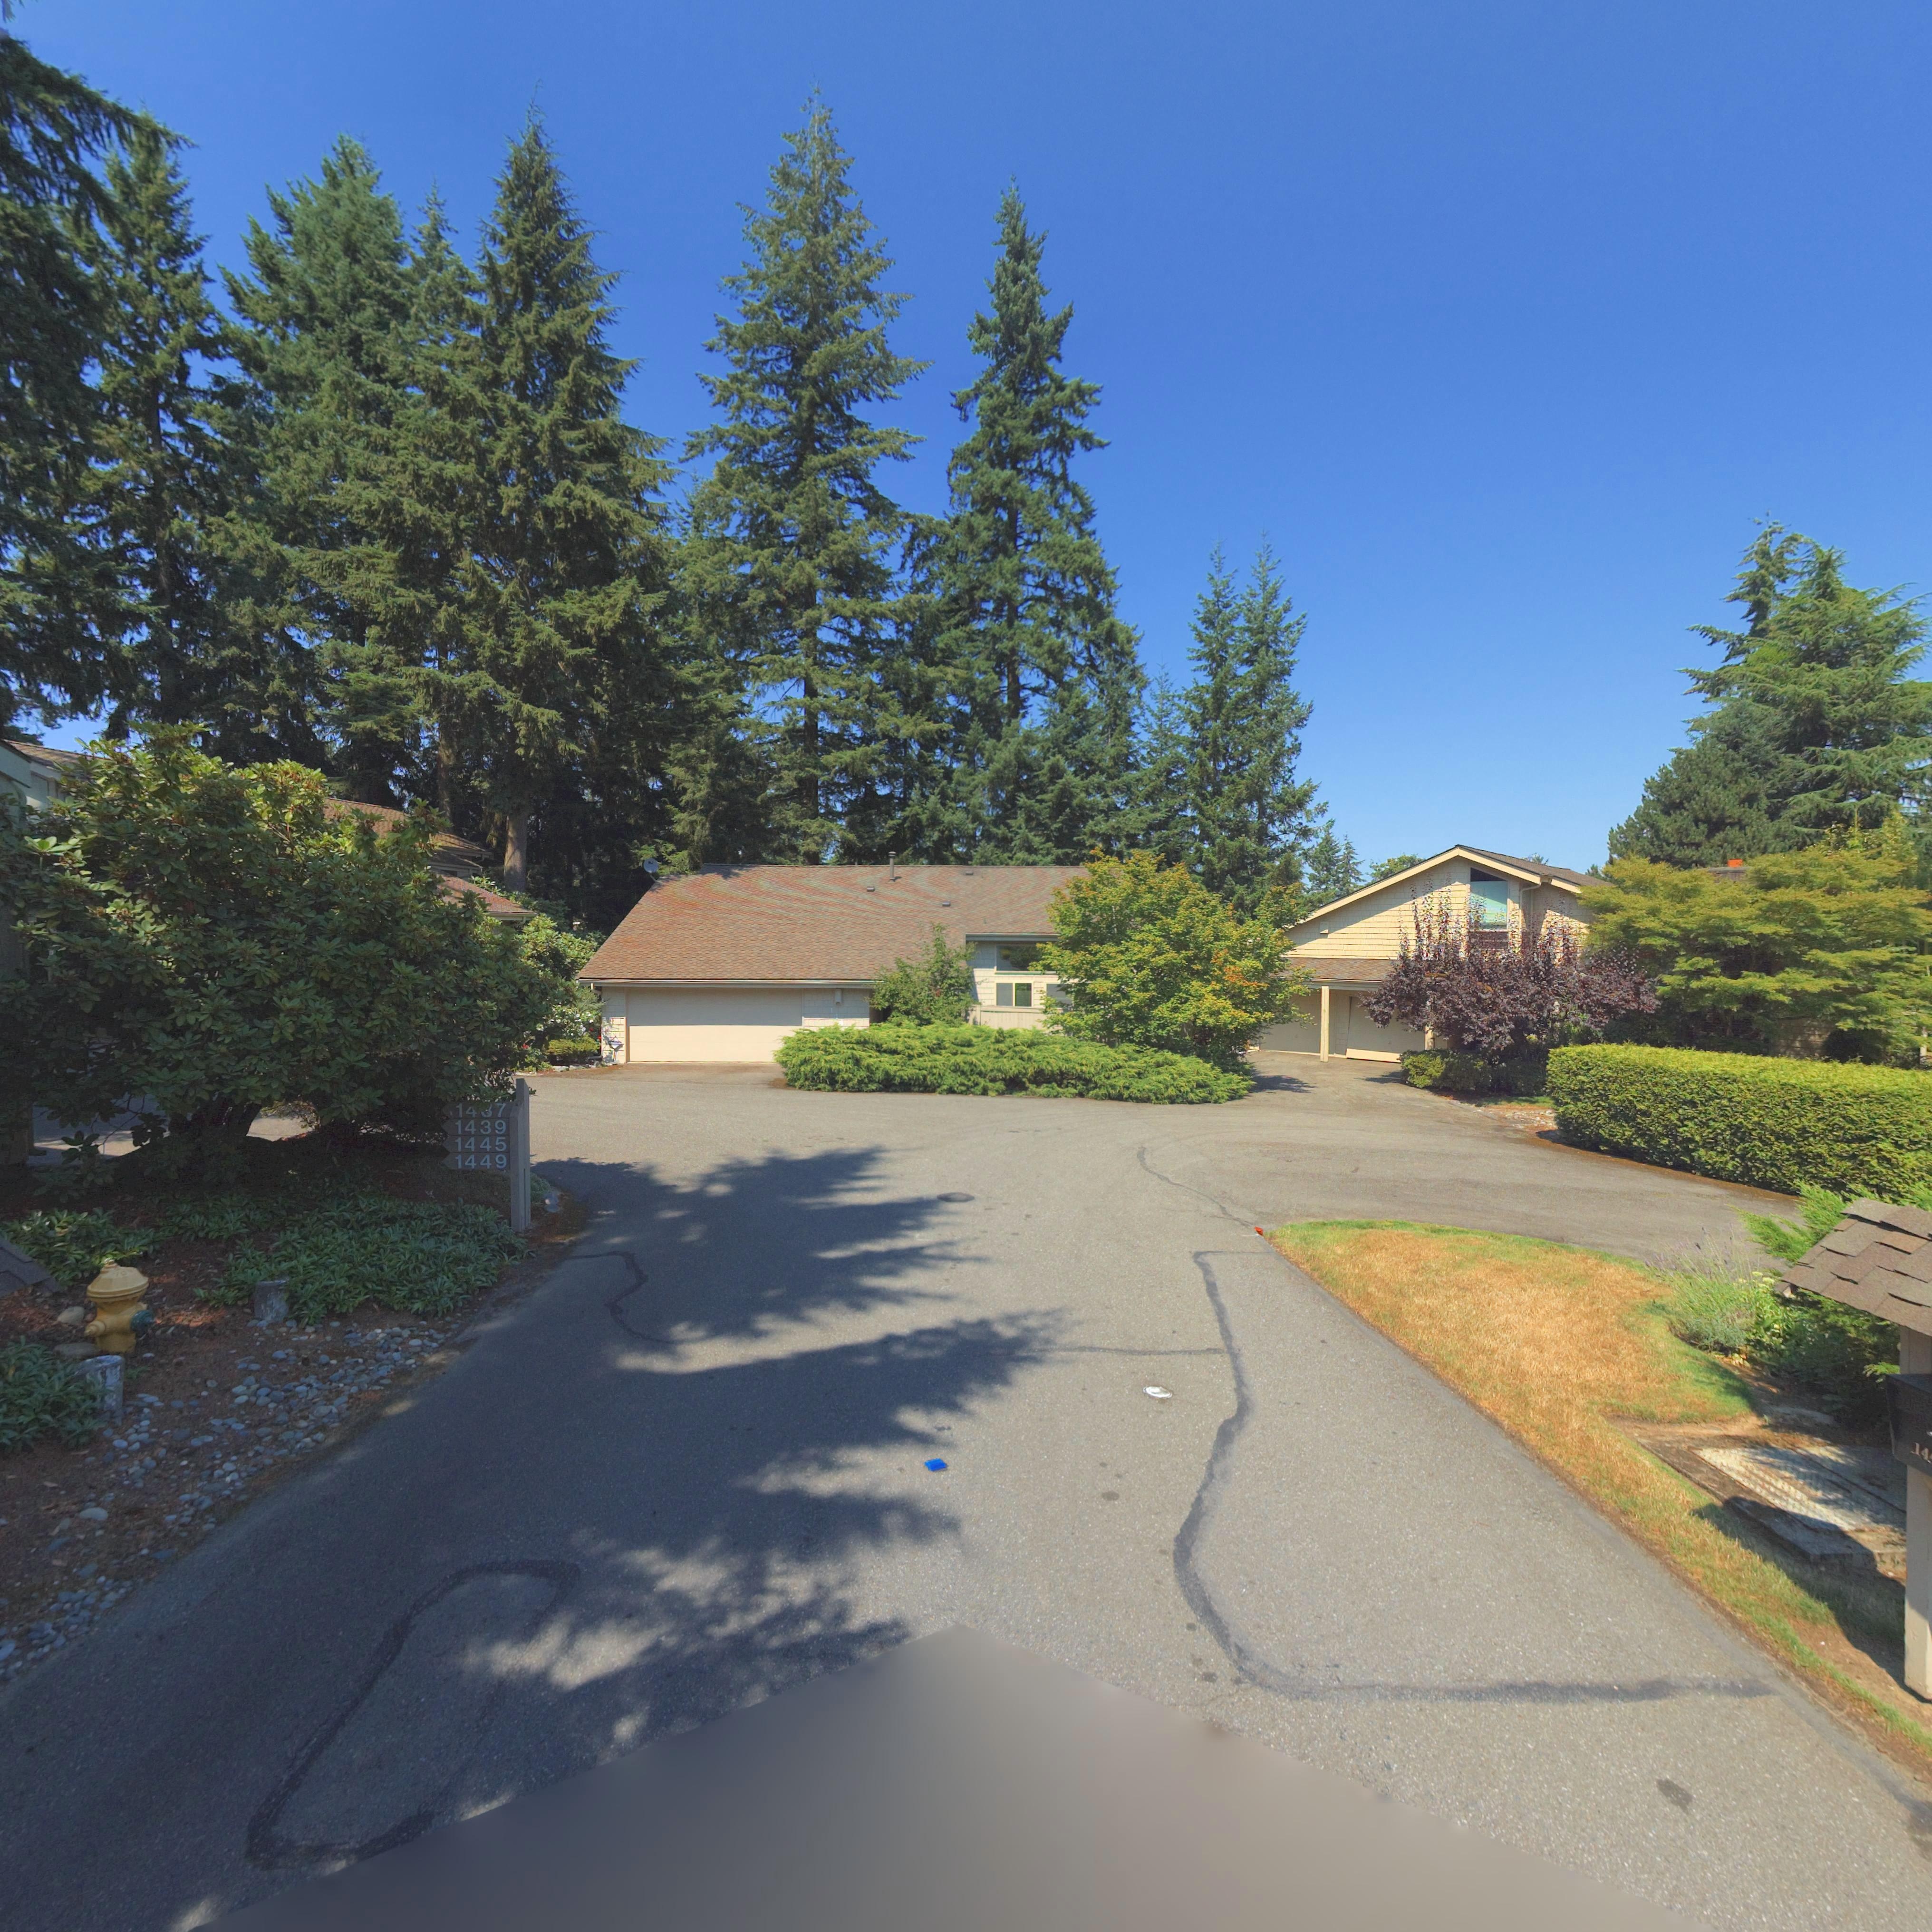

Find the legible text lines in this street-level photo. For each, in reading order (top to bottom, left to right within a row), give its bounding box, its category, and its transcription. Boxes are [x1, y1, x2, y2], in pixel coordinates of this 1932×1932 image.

[458, 1106, 508, 1118] StreetNumber: *437
[455, 1119, 509, 1135] StreetNumber: 1439
[455, 1137, 506, 1151] StreetNumber: 1445
[455, 1154, 506, 1169] StreetNumber: 1449